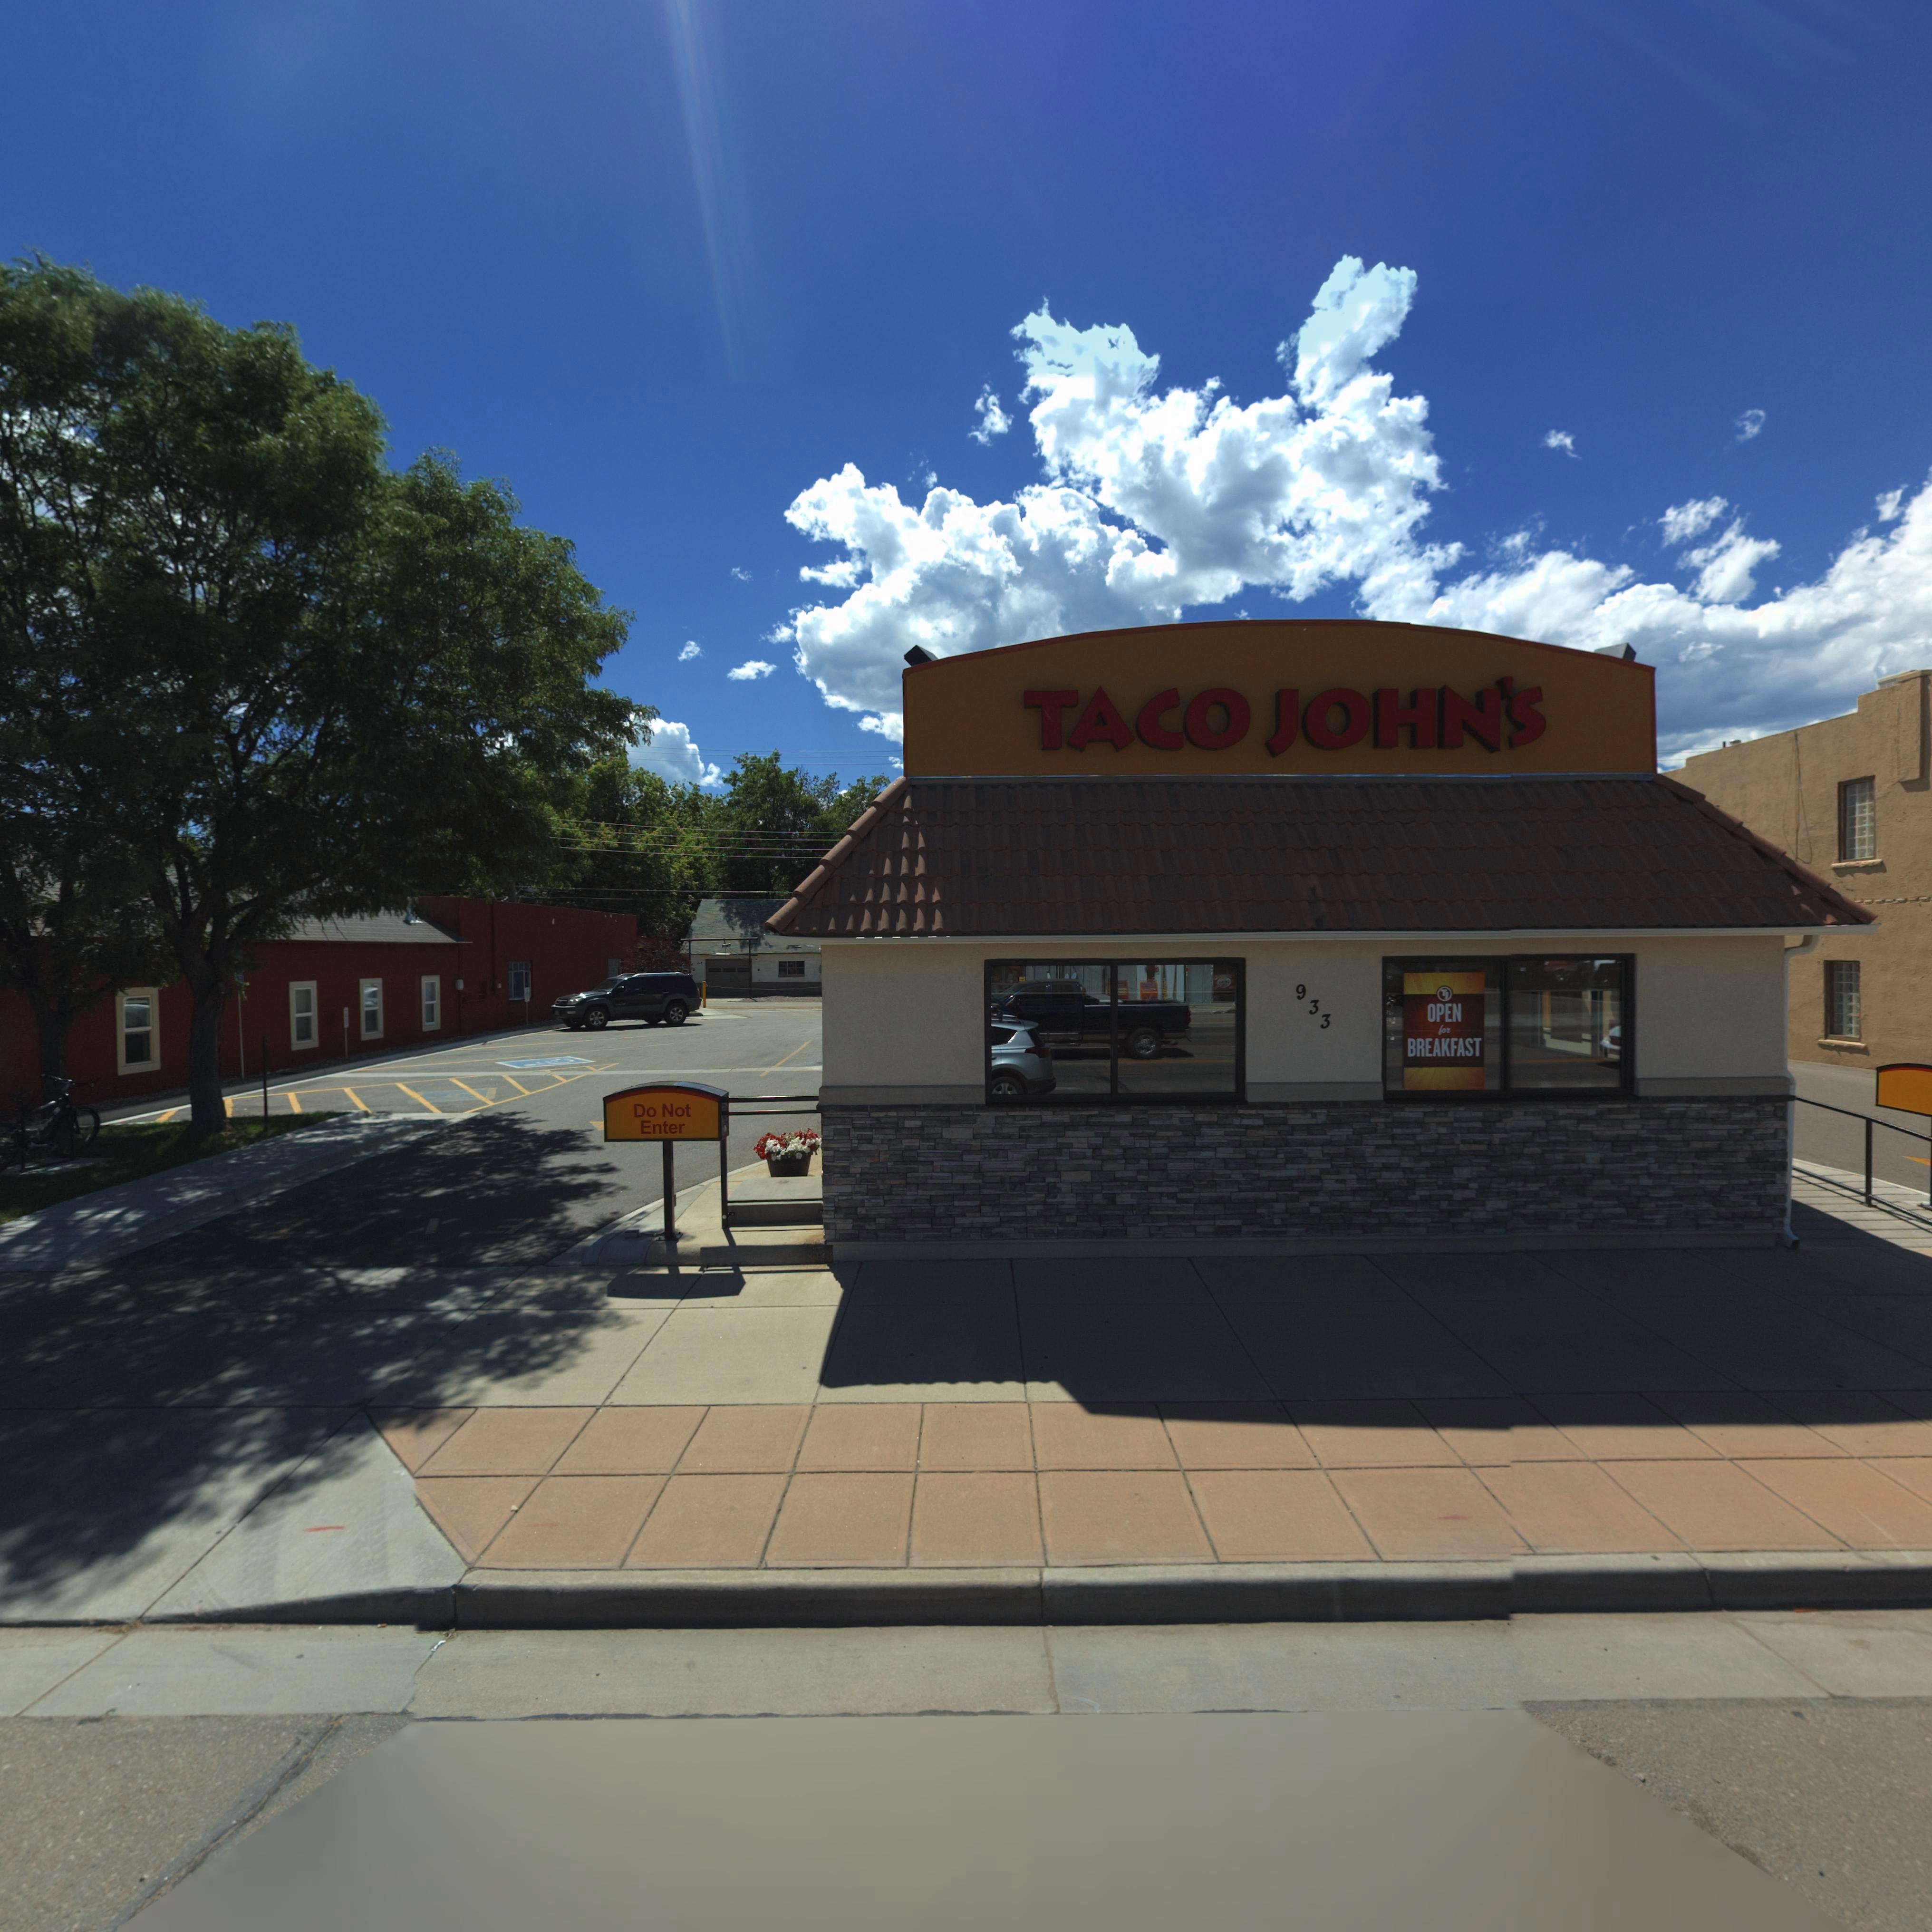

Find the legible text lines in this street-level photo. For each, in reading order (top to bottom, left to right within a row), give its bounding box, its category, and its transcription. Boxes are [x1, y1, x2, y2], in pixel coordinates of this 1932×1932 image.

[1022, 675, 1549, 759] BusinessName: TACO JOHN'S
[1295, 984, 1331, 1029] StreetNumber: 933